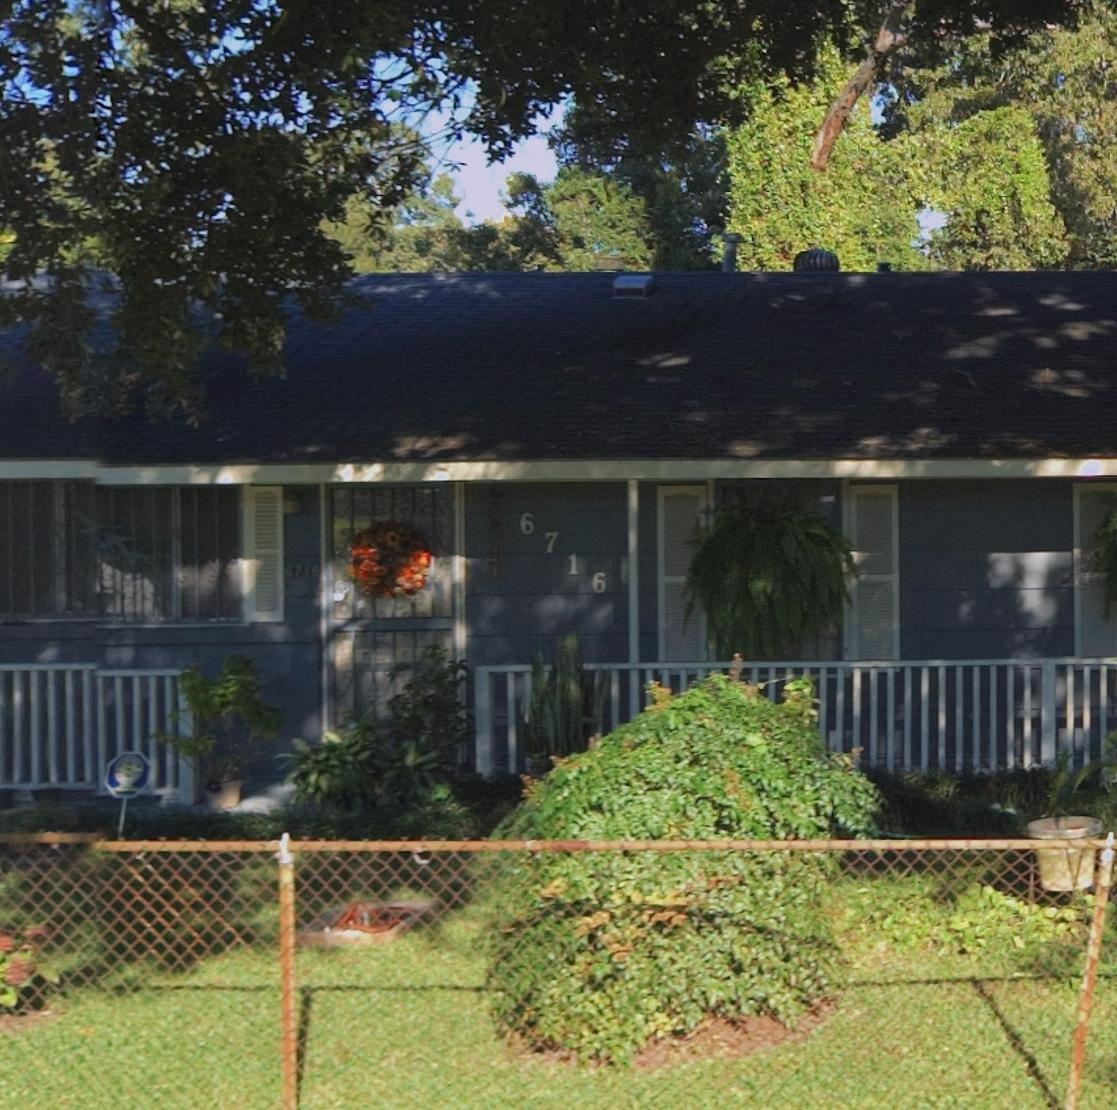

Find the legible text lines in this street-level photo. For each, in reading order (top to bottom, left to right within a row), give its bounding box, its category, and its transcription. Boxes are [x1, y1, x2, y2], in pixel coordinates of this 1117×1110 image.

[284, 563, 321, 578] StreetNumber: 6716
[517, 508, 608, 597] StreetNumber: 6716